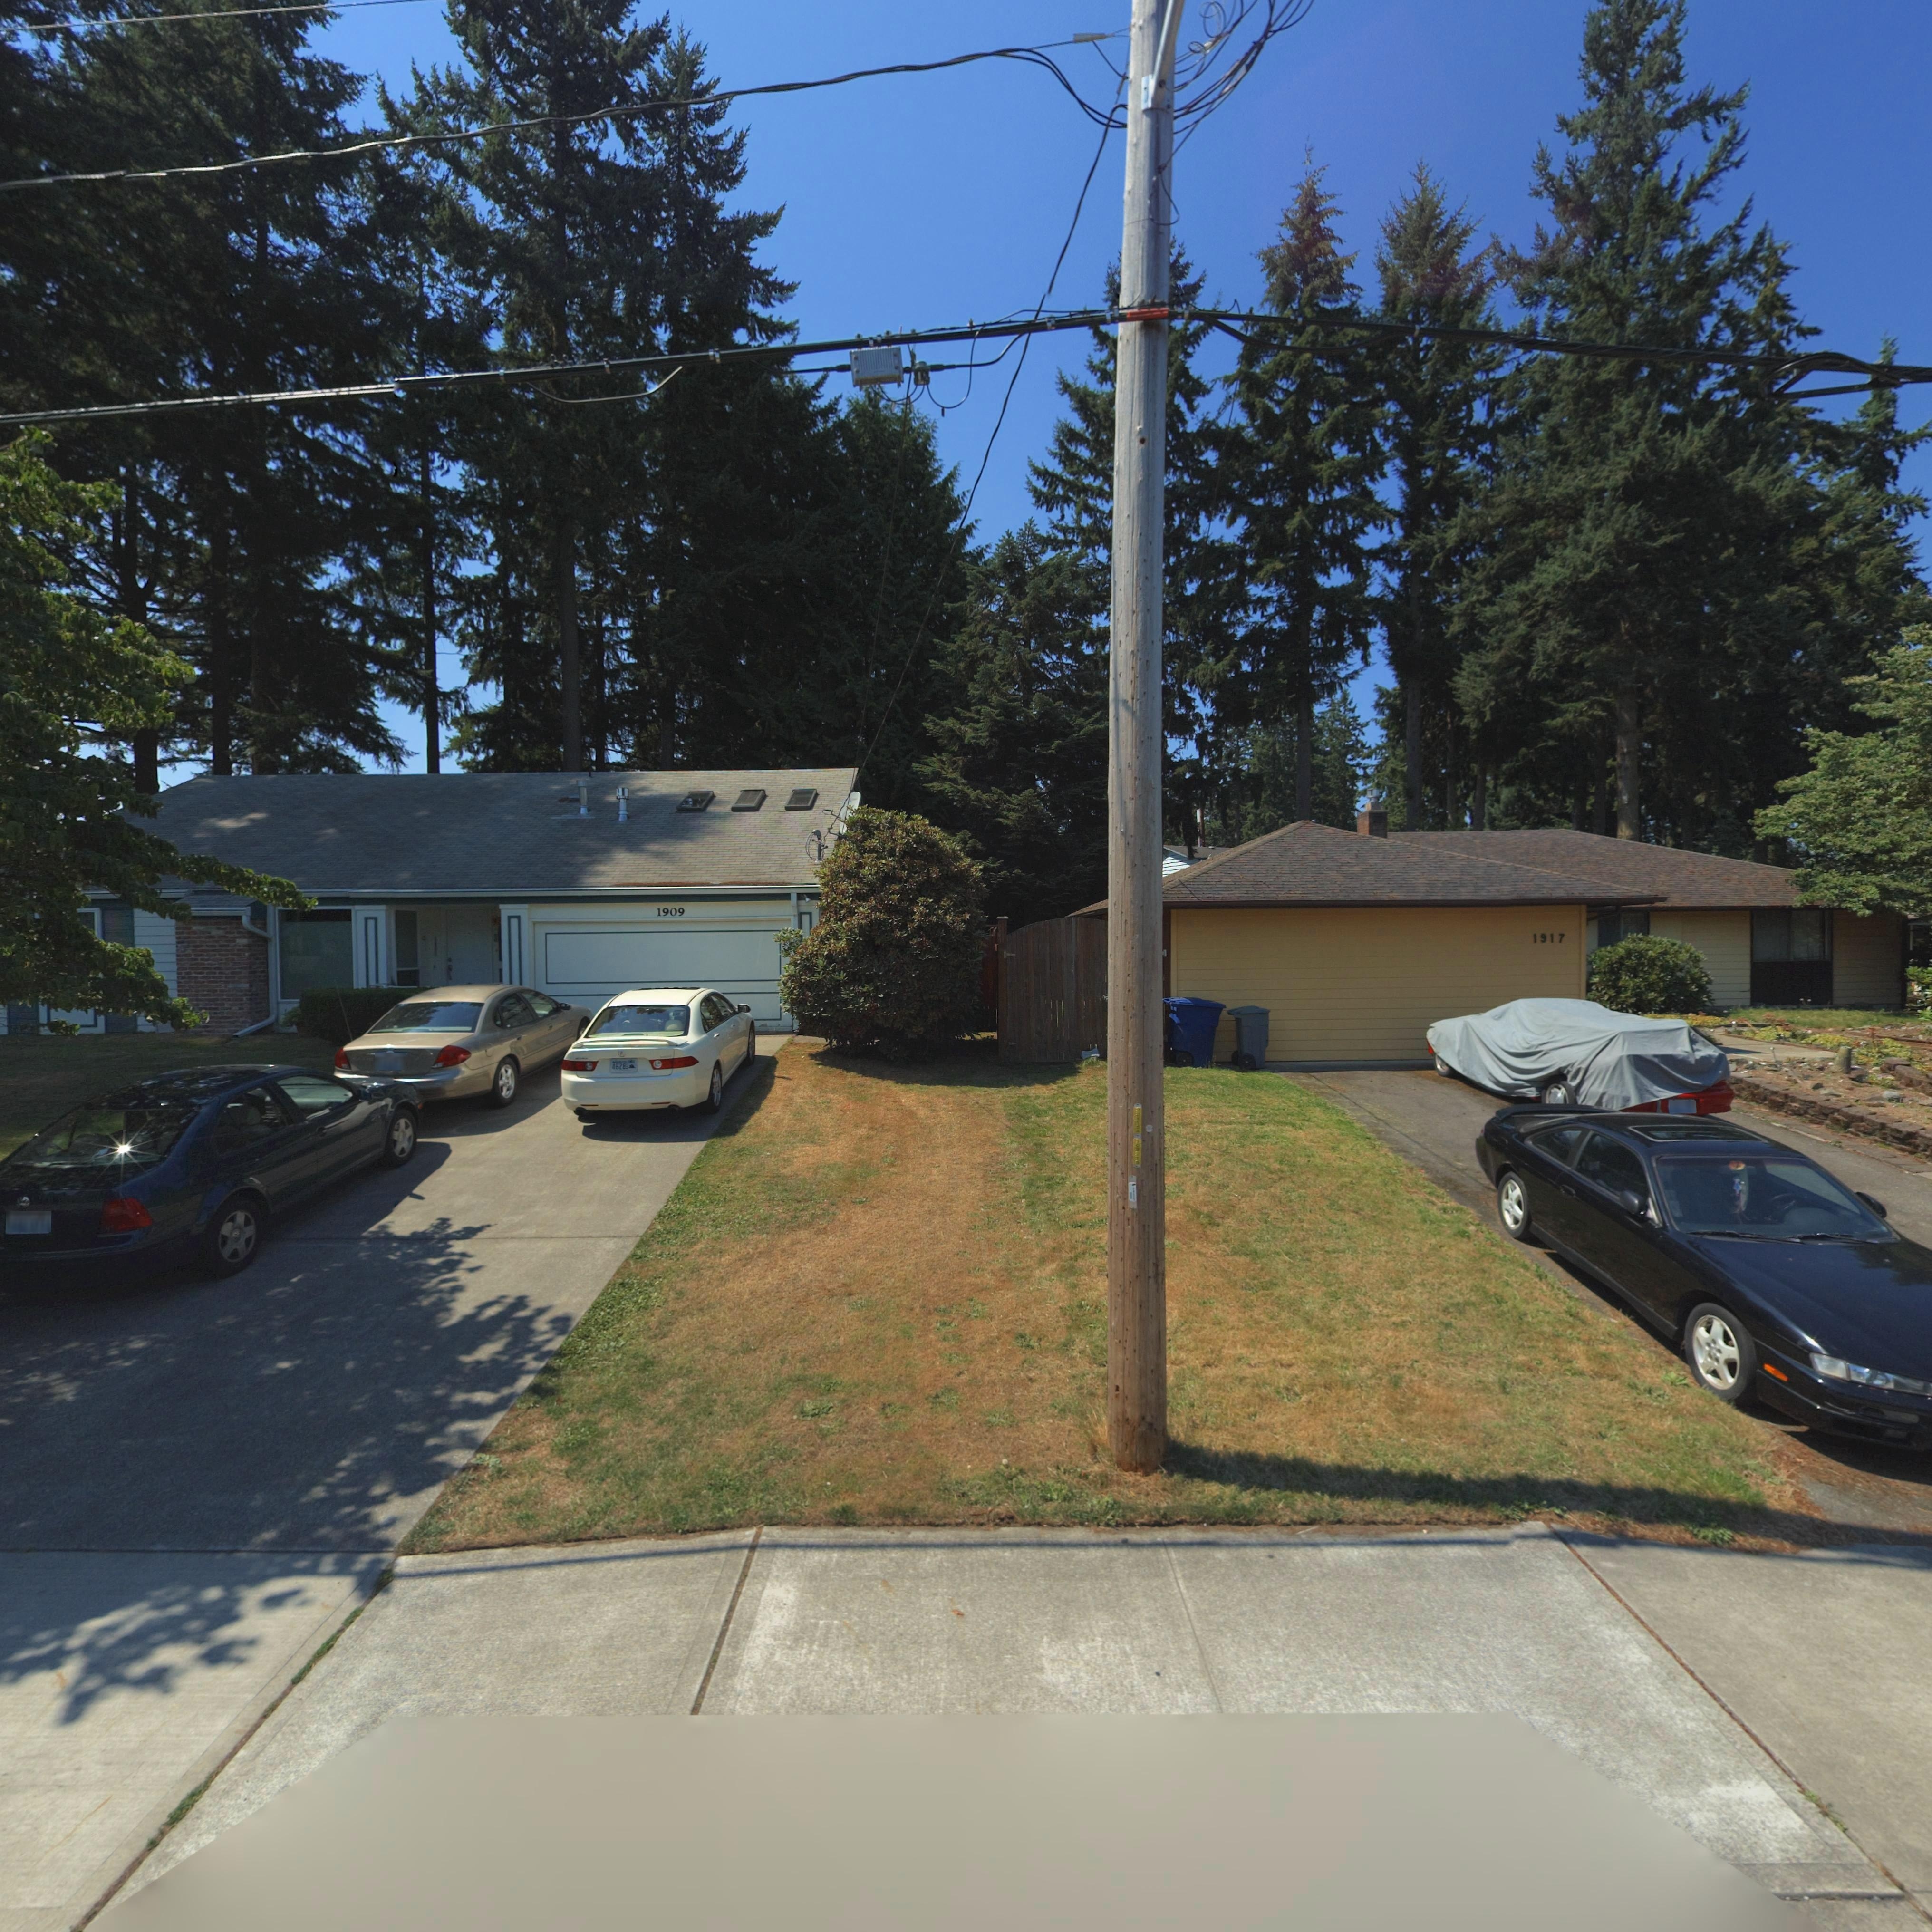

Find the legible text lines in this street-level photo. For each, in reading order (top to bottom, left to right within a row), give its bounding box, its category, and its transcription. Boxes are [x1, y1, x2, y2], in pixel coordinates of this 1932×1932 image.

[657, 907, 685, 917] StreetNumber: 1909
[1530, 931, 1571, 945] StreetNumber: 1917